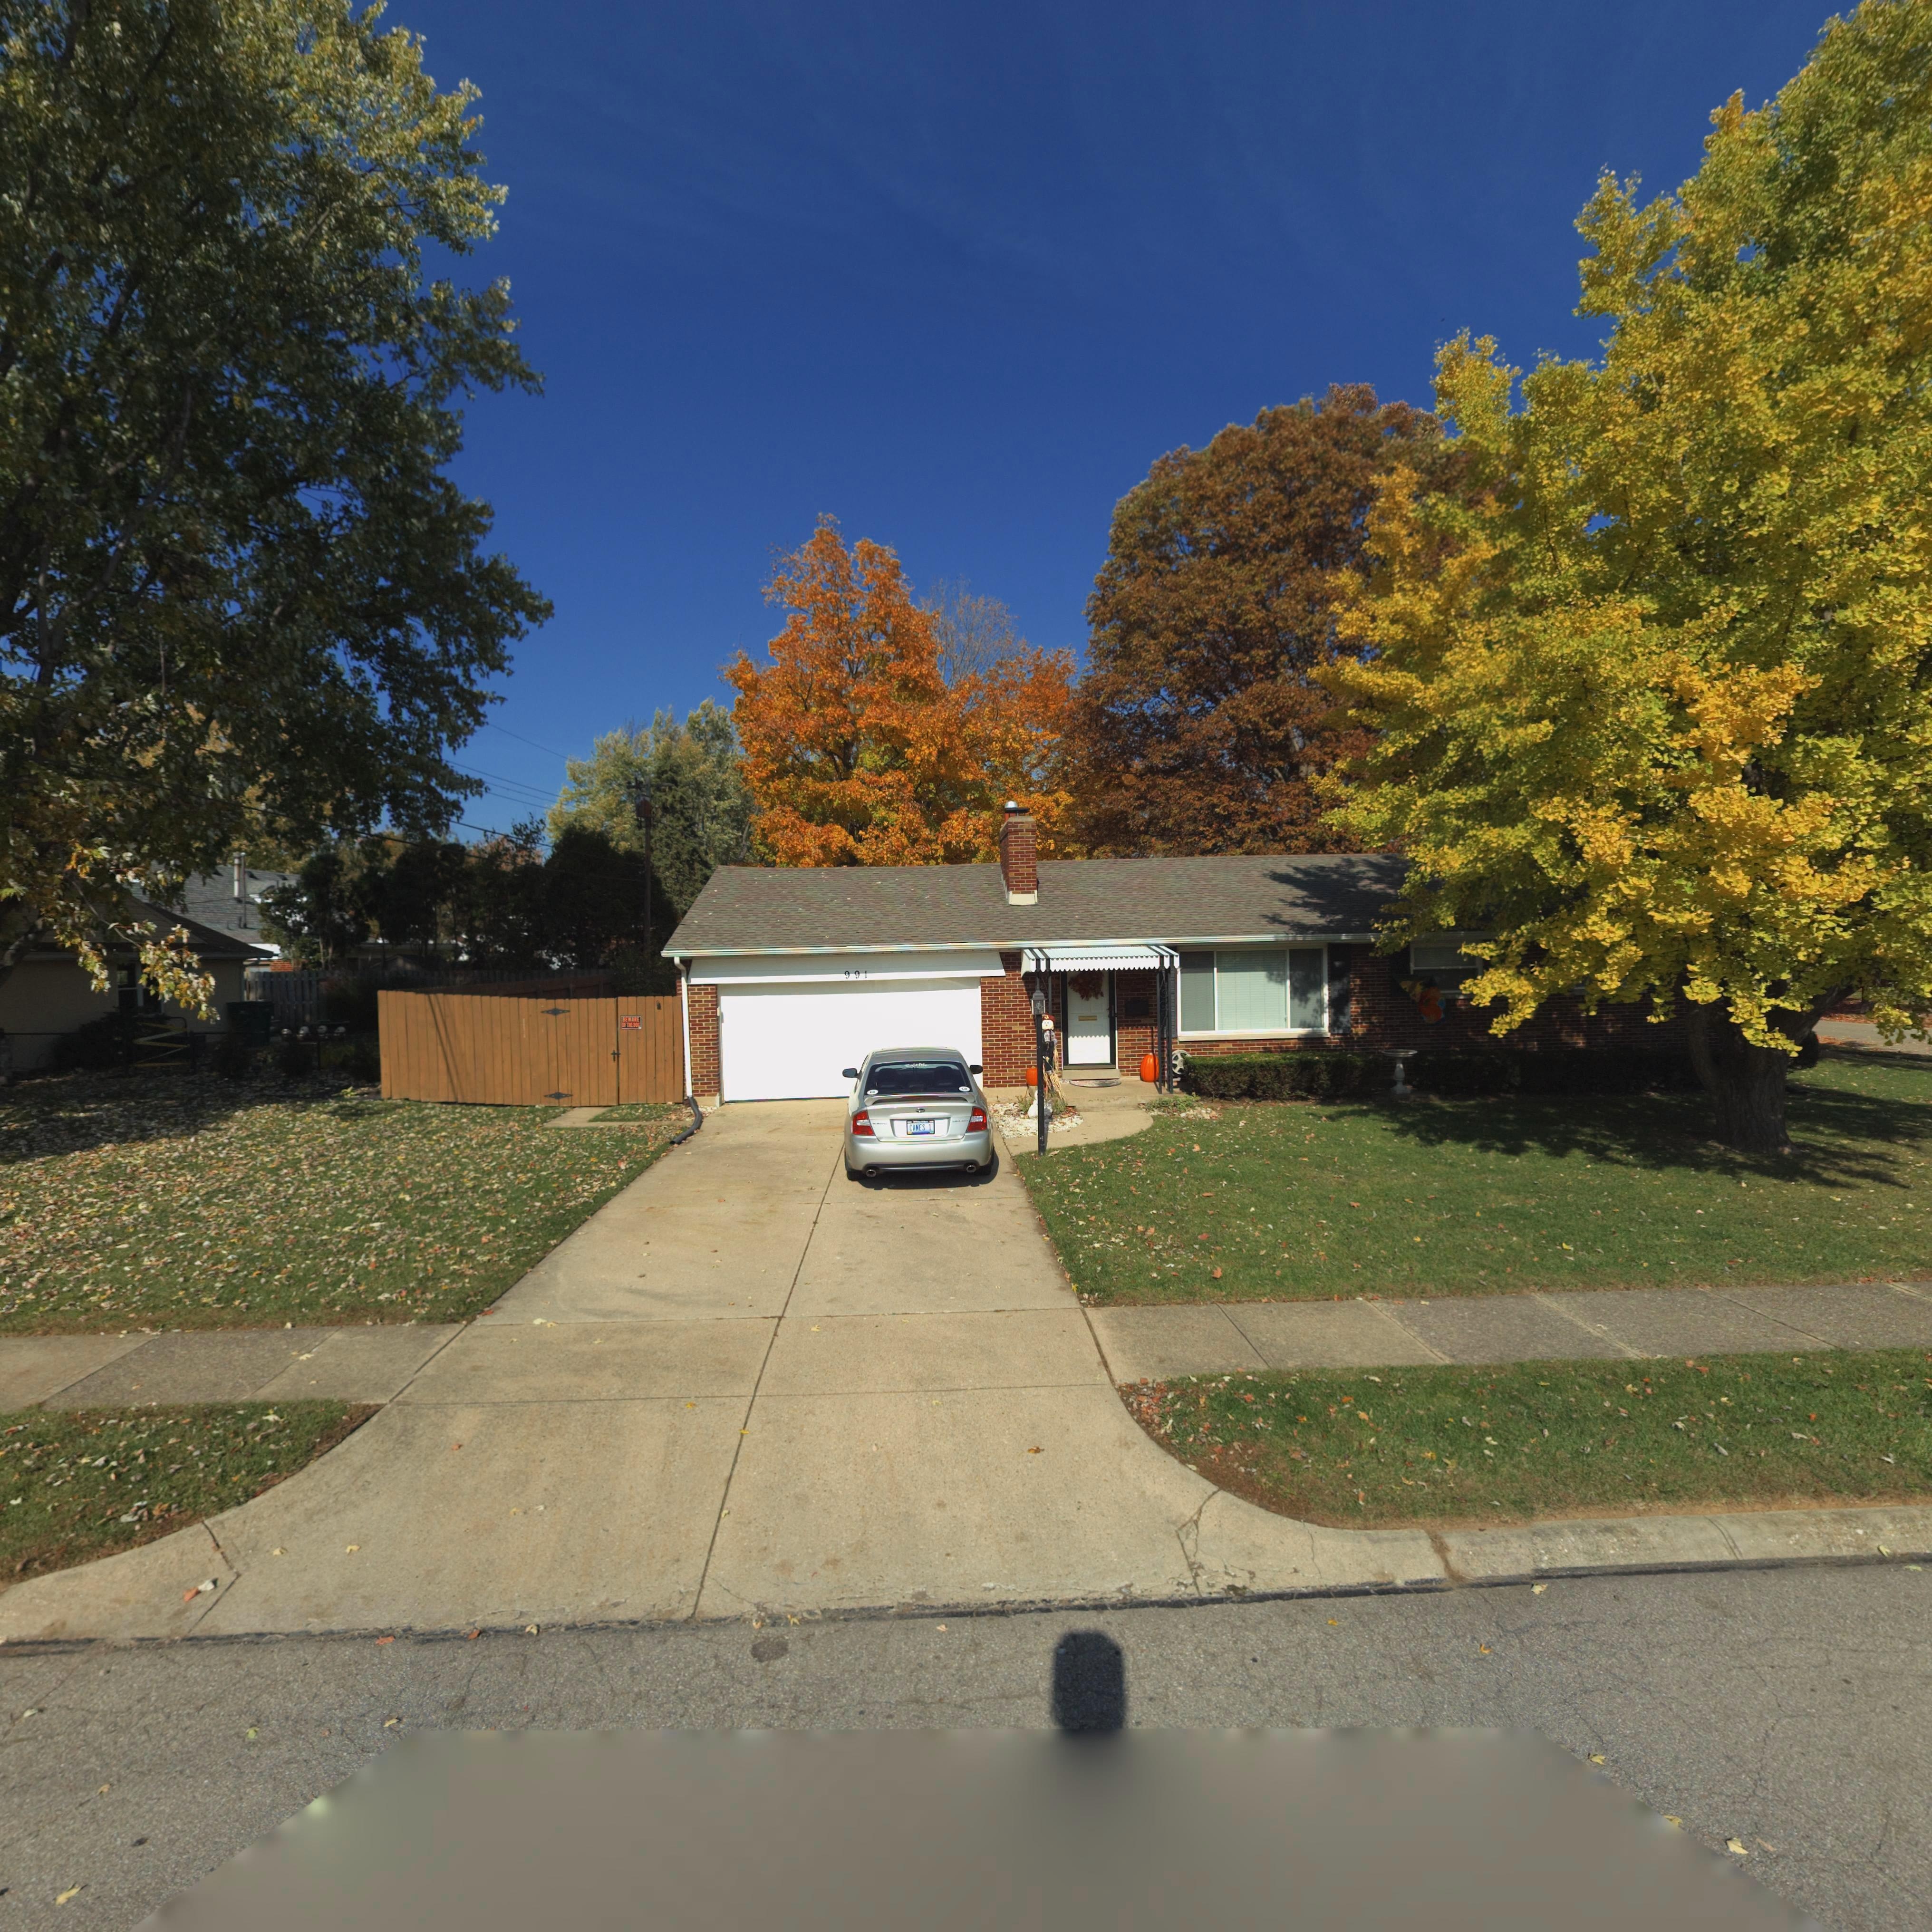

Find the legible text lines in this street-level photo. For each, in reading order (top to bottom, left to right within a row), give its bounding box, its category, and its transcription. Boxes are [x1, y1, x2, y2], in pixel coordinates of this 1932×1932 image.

[843, 969, 869, 980] StreetNumber: 991
[908, 1123, 932, 1132] None: CANES 1